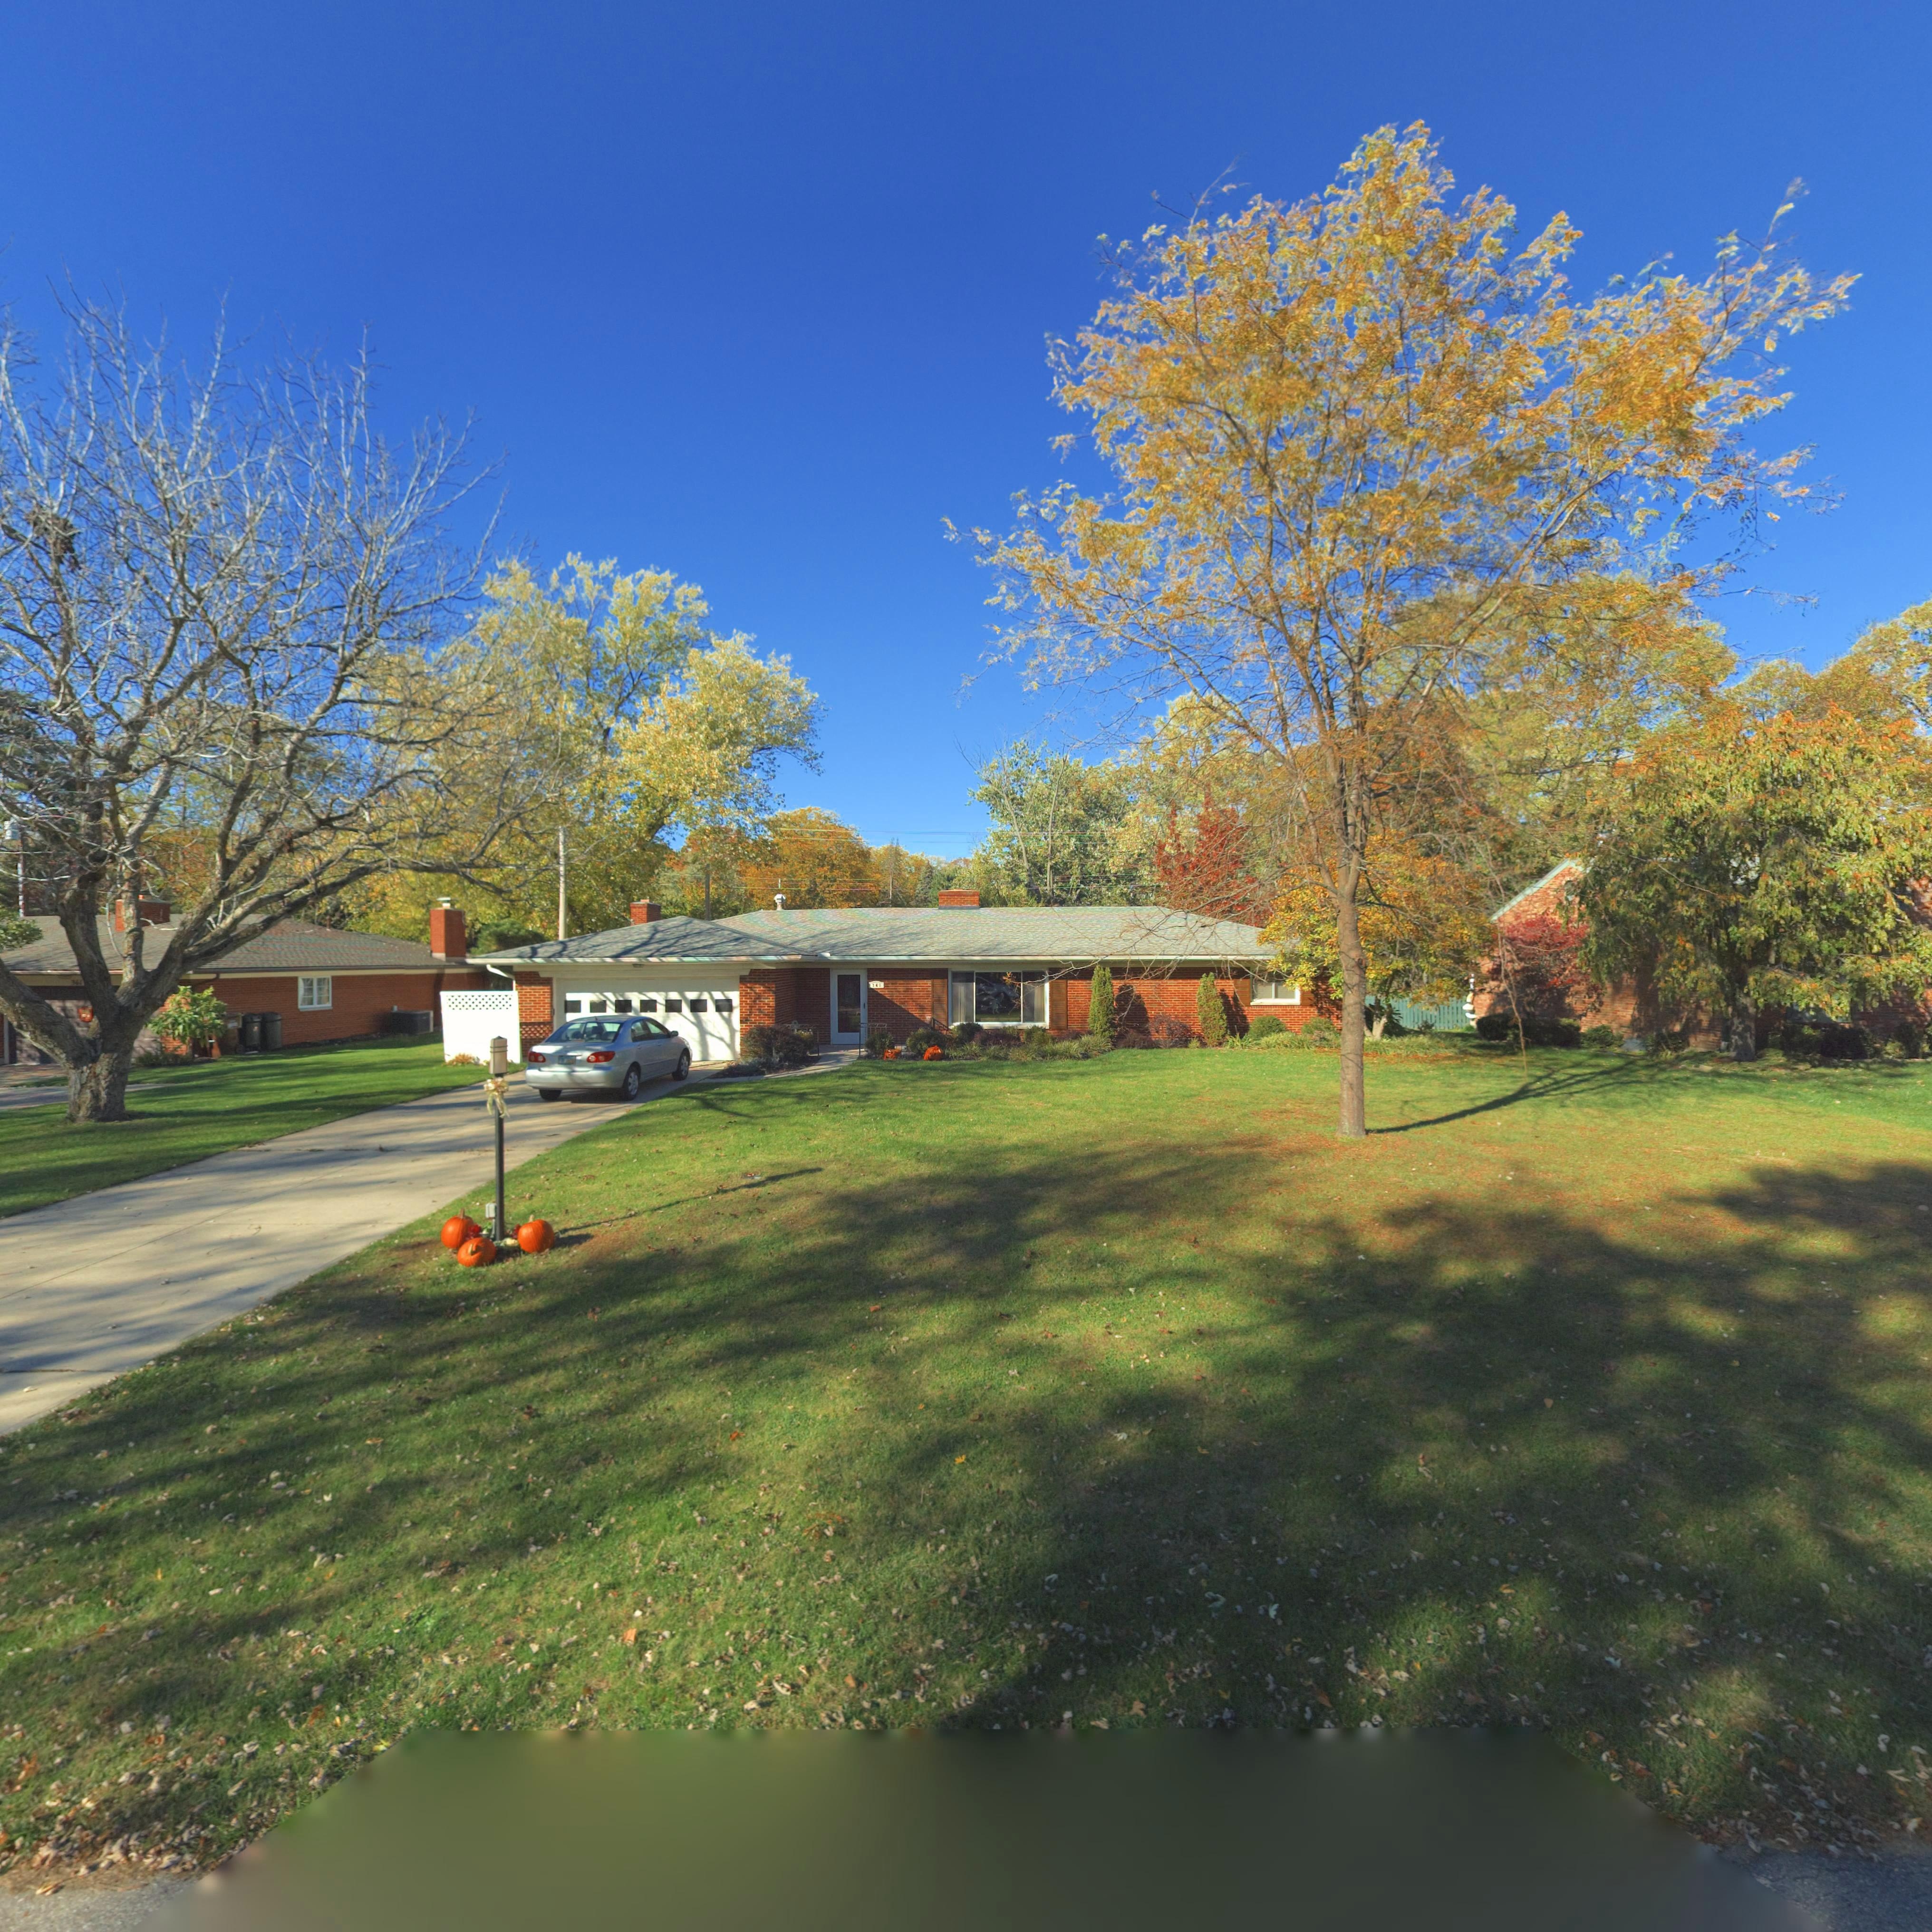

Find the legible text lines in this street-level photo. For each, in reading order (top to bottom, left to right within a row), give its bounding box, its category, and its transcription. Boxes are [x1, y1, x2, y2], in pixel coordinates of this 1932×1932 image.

[70, 979, 83, 986] StreetNumber: 361
[871, 983, 881, 988] StreetNumber: 341